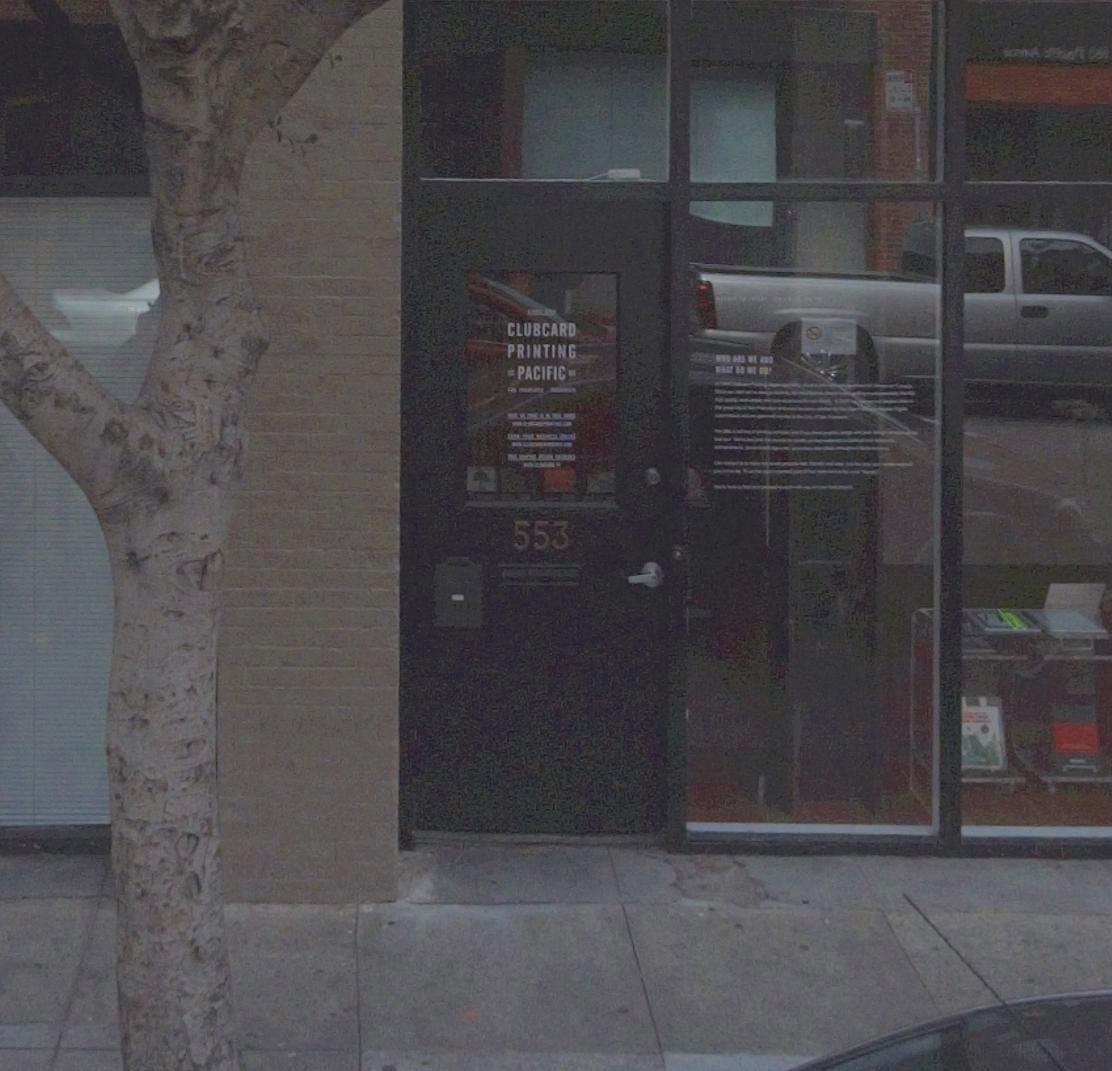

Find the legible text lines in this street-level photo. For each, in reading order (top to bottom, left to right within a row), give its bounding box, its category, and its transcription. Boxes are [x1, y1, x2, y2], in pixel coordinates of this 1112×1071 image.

[504, 319, 580, 339] BusinessName: CLUBCARD
[503, 340, 579, 363] BusinessName: PRINTING
[514, 362, 569, 384] BusinessName: PACIFIC
[511, 517, 573, 554] StreetNumber: 553